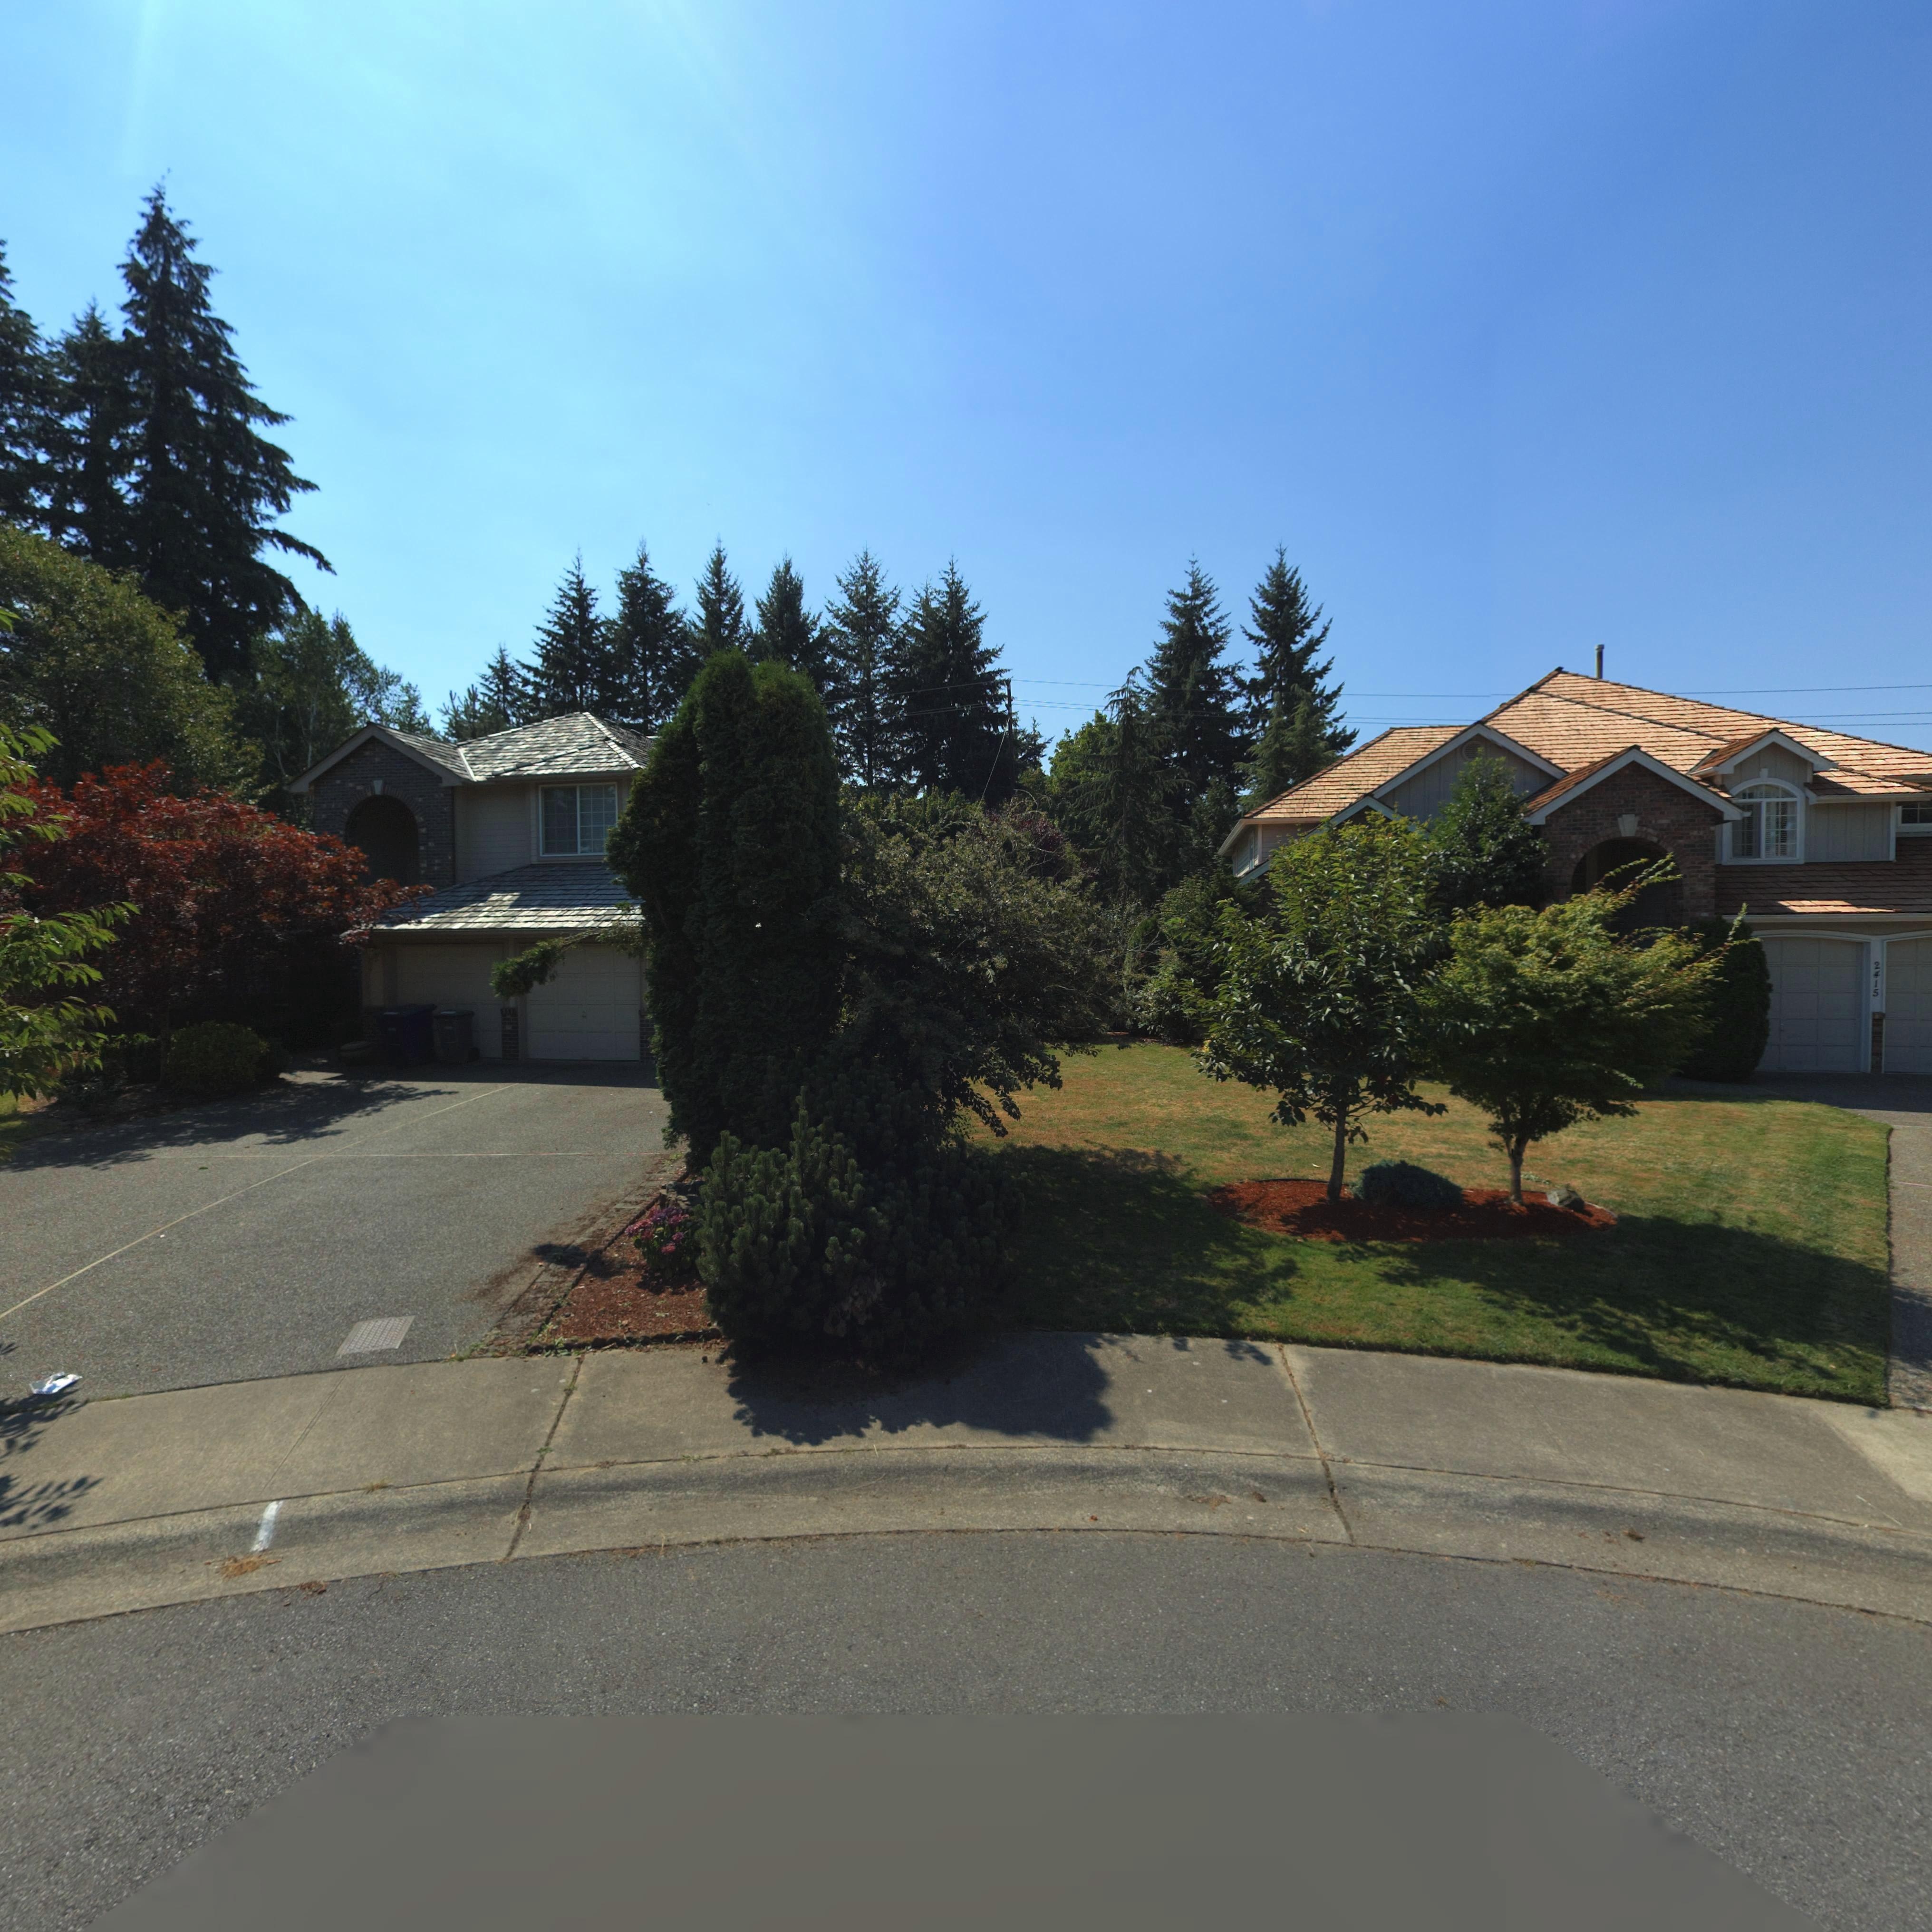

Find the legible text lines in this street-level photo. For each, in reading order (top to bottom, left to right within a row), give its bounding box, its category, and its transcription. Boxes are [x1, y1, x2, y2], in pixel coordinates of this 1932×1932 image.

[1871, 961, 1881, 998] StreetNumber: 2415